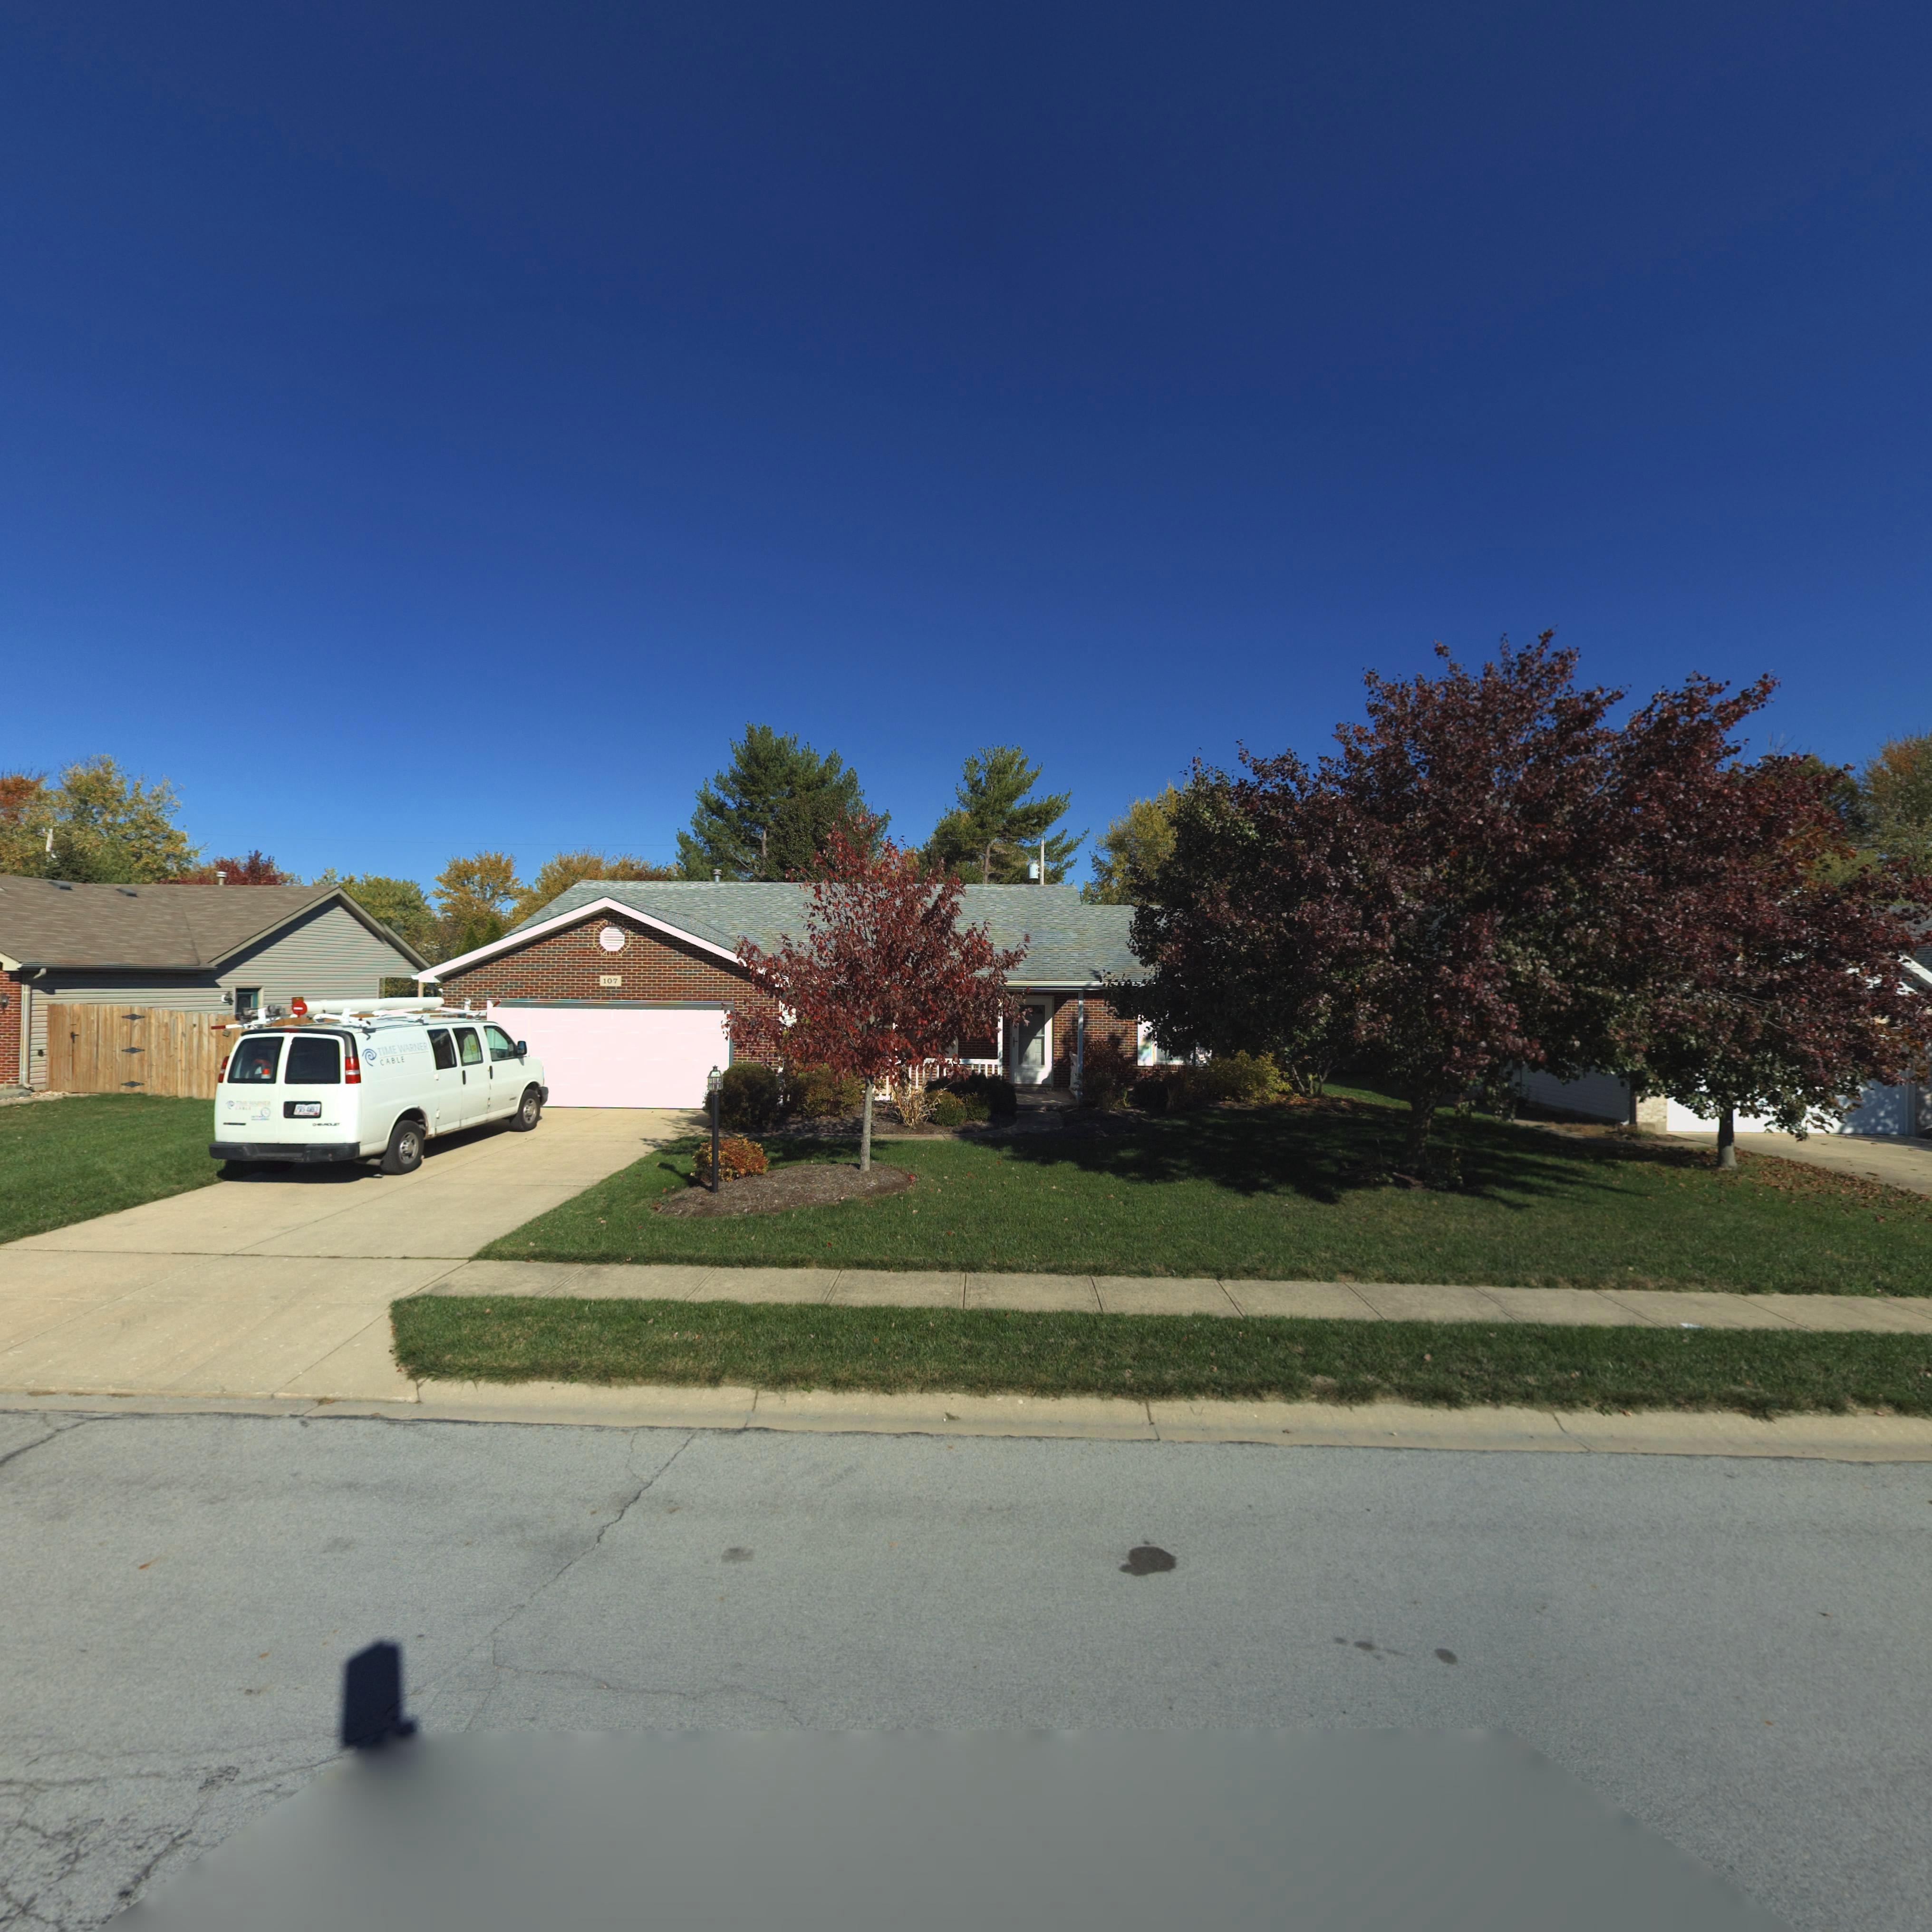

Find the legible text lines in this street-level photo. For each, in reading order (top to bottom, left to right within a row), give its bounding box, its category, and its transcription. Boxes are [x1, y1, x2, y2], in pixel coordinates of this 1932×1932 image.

[602, 977, 618, 984] StreetNumber: 107
[377, 1042, 429, 1058] None: TIME WARNER
[378, 1055, 406, 1067] None: CABLE